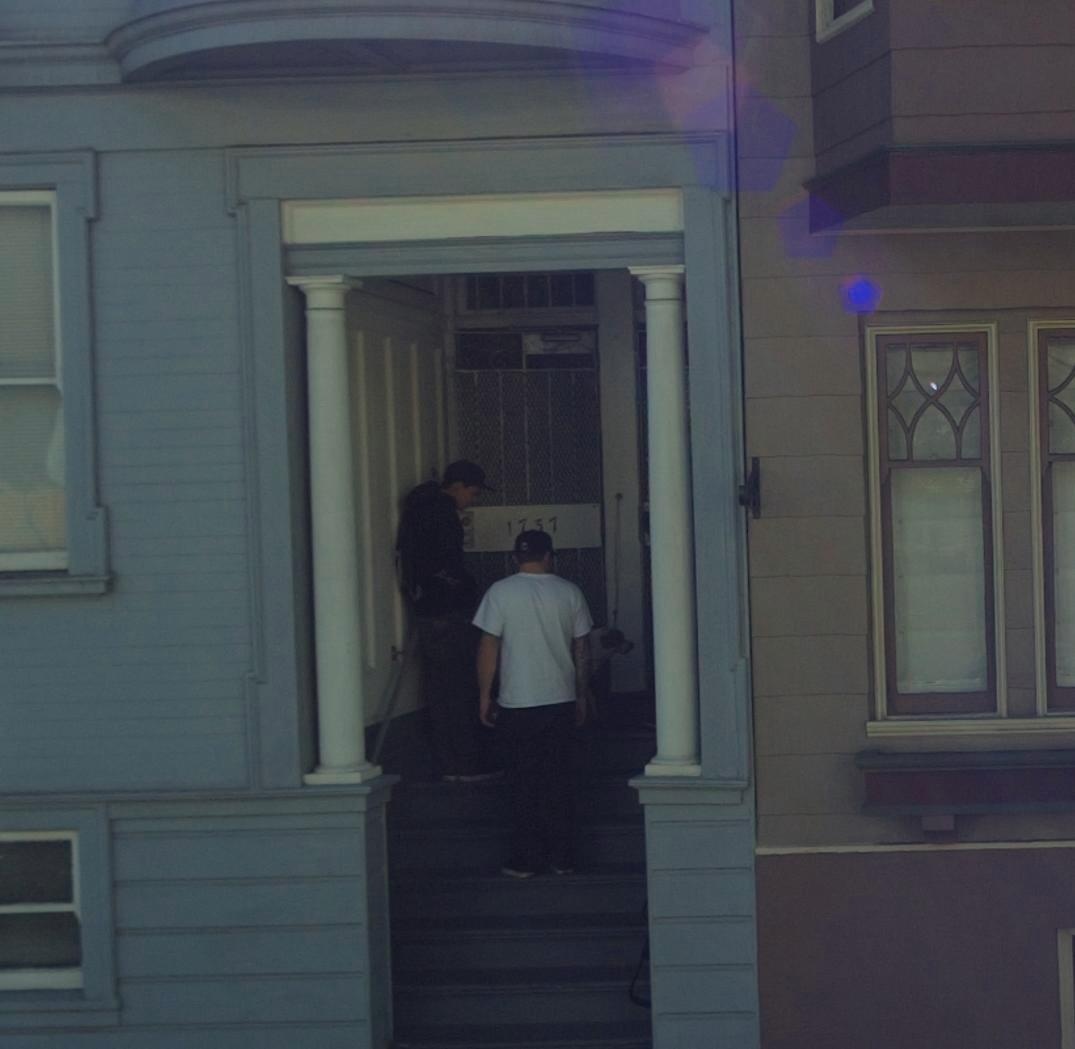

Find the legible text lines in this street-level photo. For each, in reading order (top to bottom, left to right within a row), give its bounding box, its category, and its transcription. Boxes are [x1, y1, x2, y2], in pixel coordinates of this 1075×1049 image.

[505, 514, 559, 538] StreetNumber: 1737